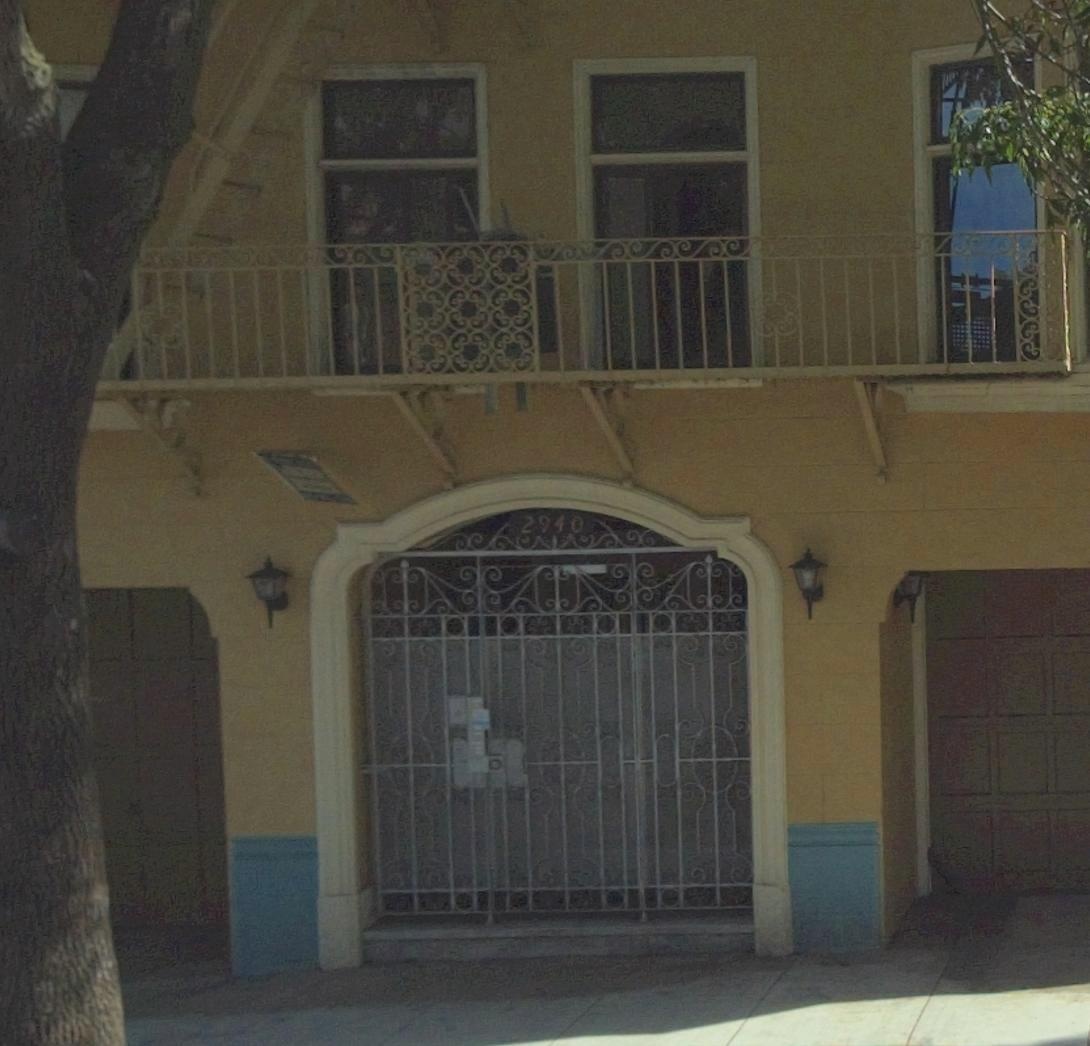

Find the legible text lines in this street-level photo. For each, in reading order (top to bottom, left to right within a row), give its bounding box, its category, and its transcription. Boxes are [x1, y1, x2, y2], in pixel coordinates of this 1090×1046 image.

[519, 513, 585, 535] StreetNumber: 2940